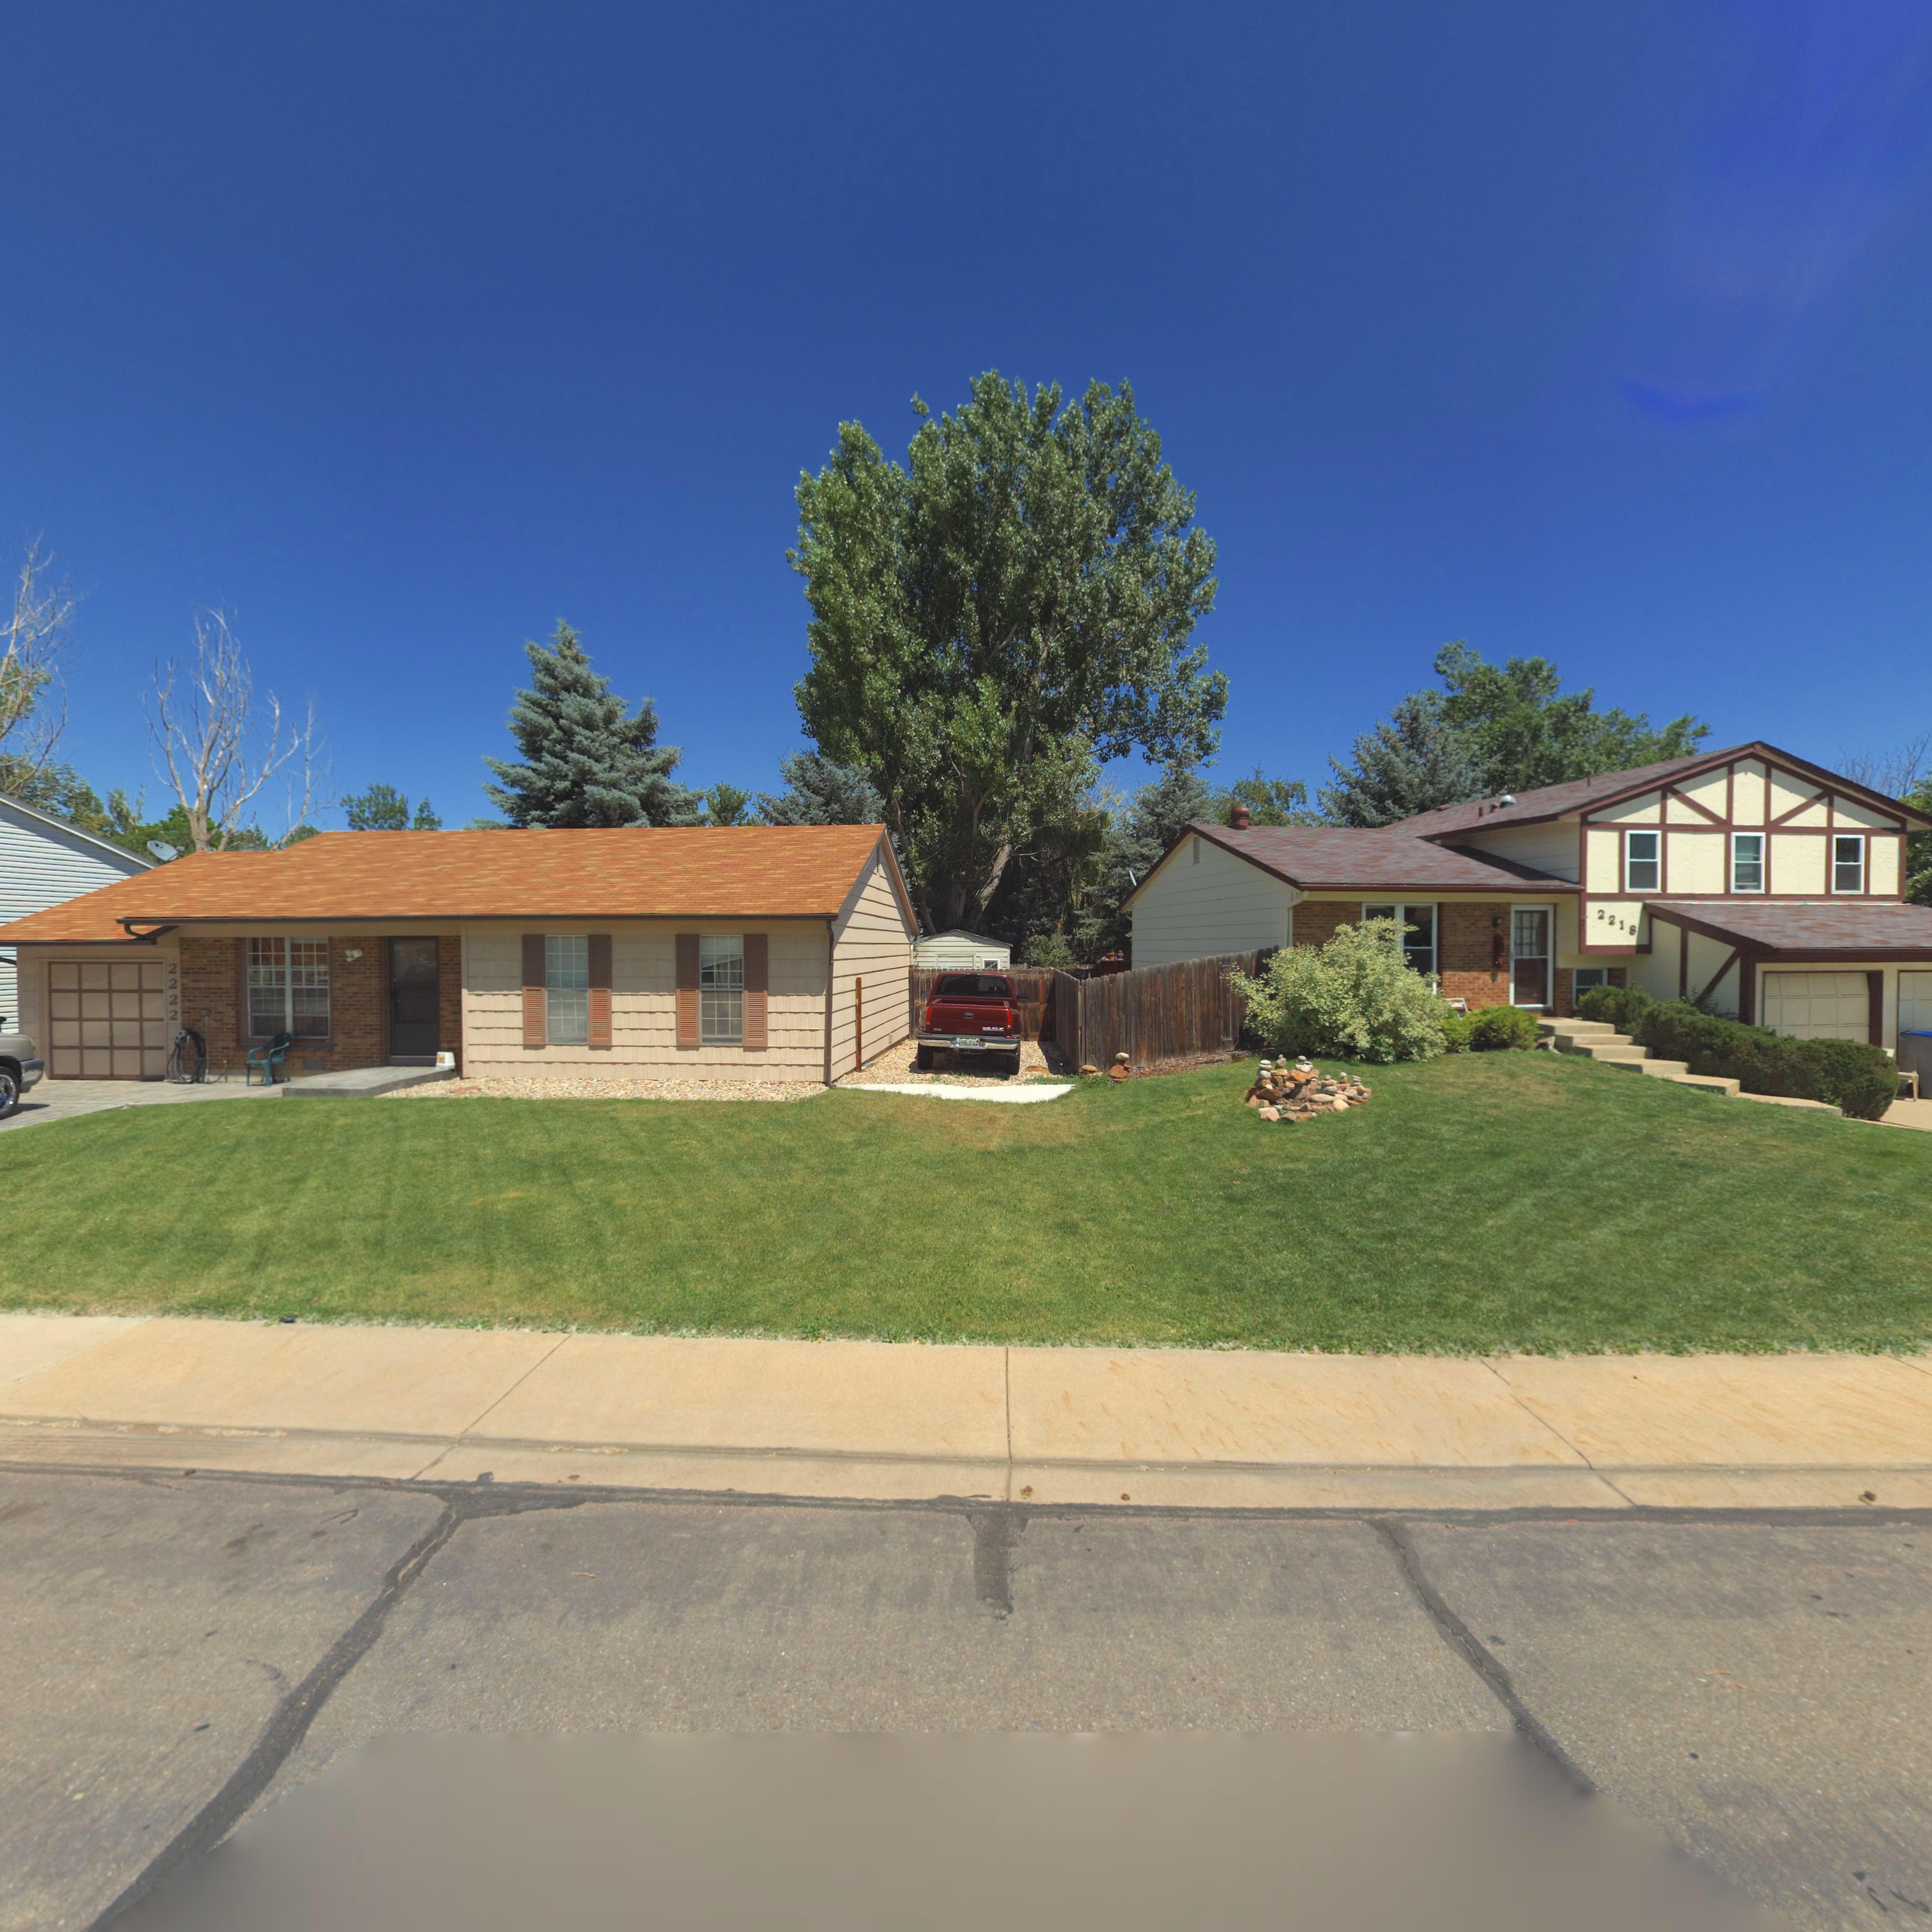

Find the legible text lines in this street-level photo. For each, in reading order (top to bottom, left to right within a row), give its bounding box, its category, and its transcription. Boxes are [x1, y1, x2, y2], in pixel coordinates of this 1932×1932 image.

[1595, 908, 1637, 937] StreetNumber: 2218
[168, 962, 179, 1022] StreetNumber: 2222